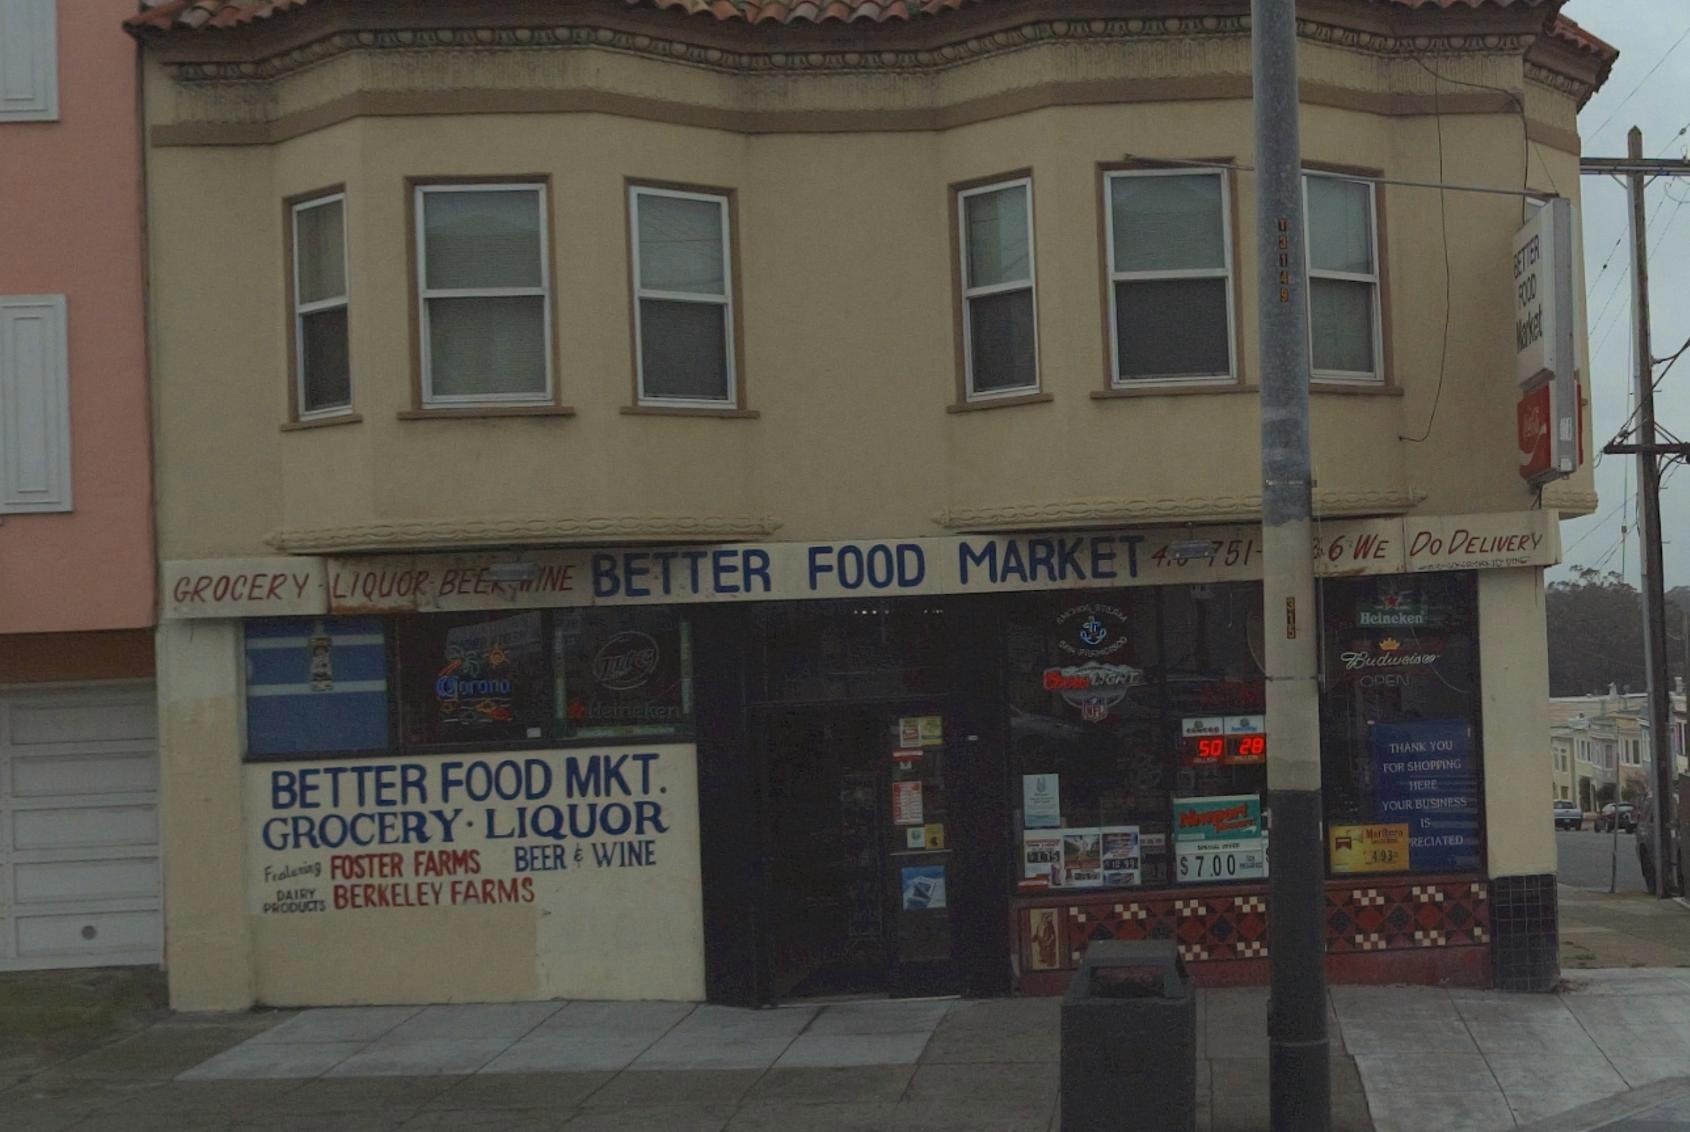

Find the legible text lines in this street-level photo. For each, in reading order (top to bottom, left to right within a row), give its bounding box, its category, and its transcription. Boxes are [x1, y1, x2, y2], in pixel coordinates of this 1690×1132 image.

[1276, 214, 1290, 306] None: T3149
[1508, 229, 1543, 282] BusinessName: BETTER
[1512, 268, 1541, 314] BusinessName: FOOD
[1511, 299, 1546, 358] BusinessName: Market
[1145, 525, 1553, 572] None: 4-- 751-*6 WE DO DELIVERY
[588, 529, 1151, 603] BusinessName: BETTER FOOD MARKET
[169, 559, 579, 607] None: GROCERY - LIQUOR - BEE* *INE
[1286, 595, 1297, 642] None: 315
[1355, 609, 1428, 629] None: Heineken
[431, 672, 513, 704] None: Corona
[589, 647, 658, 683] None: Lite
[1039, 669, 1146, 694] None: CoorsLIGHT
[1359, 669, 1414, 690] None: OPEN
[1336, 647, 1444, 673] None: Budweiser
[583, 696, 688, 723] None: Heineken
[1195, 736, 1225, 759] None: 50
[1234, 733, 1268, 760] None: 28
[1384, 737, 1458, 754] None: THANK YOU
[1381, 757, 1464, 775] None: FOR SHOPPING
[267, 749, 670, 814] BusinessName: BETTER FOOD MKT.
[1402, 776, 1440, 794] None: HERE
[257, 797, 675, 854] None: GROCERY - LIQUOR
[1176, 799, 1253, 830] None: Newport
[1379, 794, 1470, 813] None: YOUR BUSINESS
[1418, 815, 1433, 830] None: IS
[260, 859, 325, 888] None: Featuring
[327, 846, 484, 884] None: FOSTER FARMS
[512, 835, 660, 875] None: BEER & WINE
[1190, 850, 1239, 879] None: 7.00
[1364, 847, 1395, 866] None: 4.93
[1408, 832, 1466, 849] None: RECIATED
[259, 898, 328, 917] None: PRODUCTS
[273, 885, 320, 903] None: DAIRY
[328, 874, 536, 911] None: BERKELEY FARMS